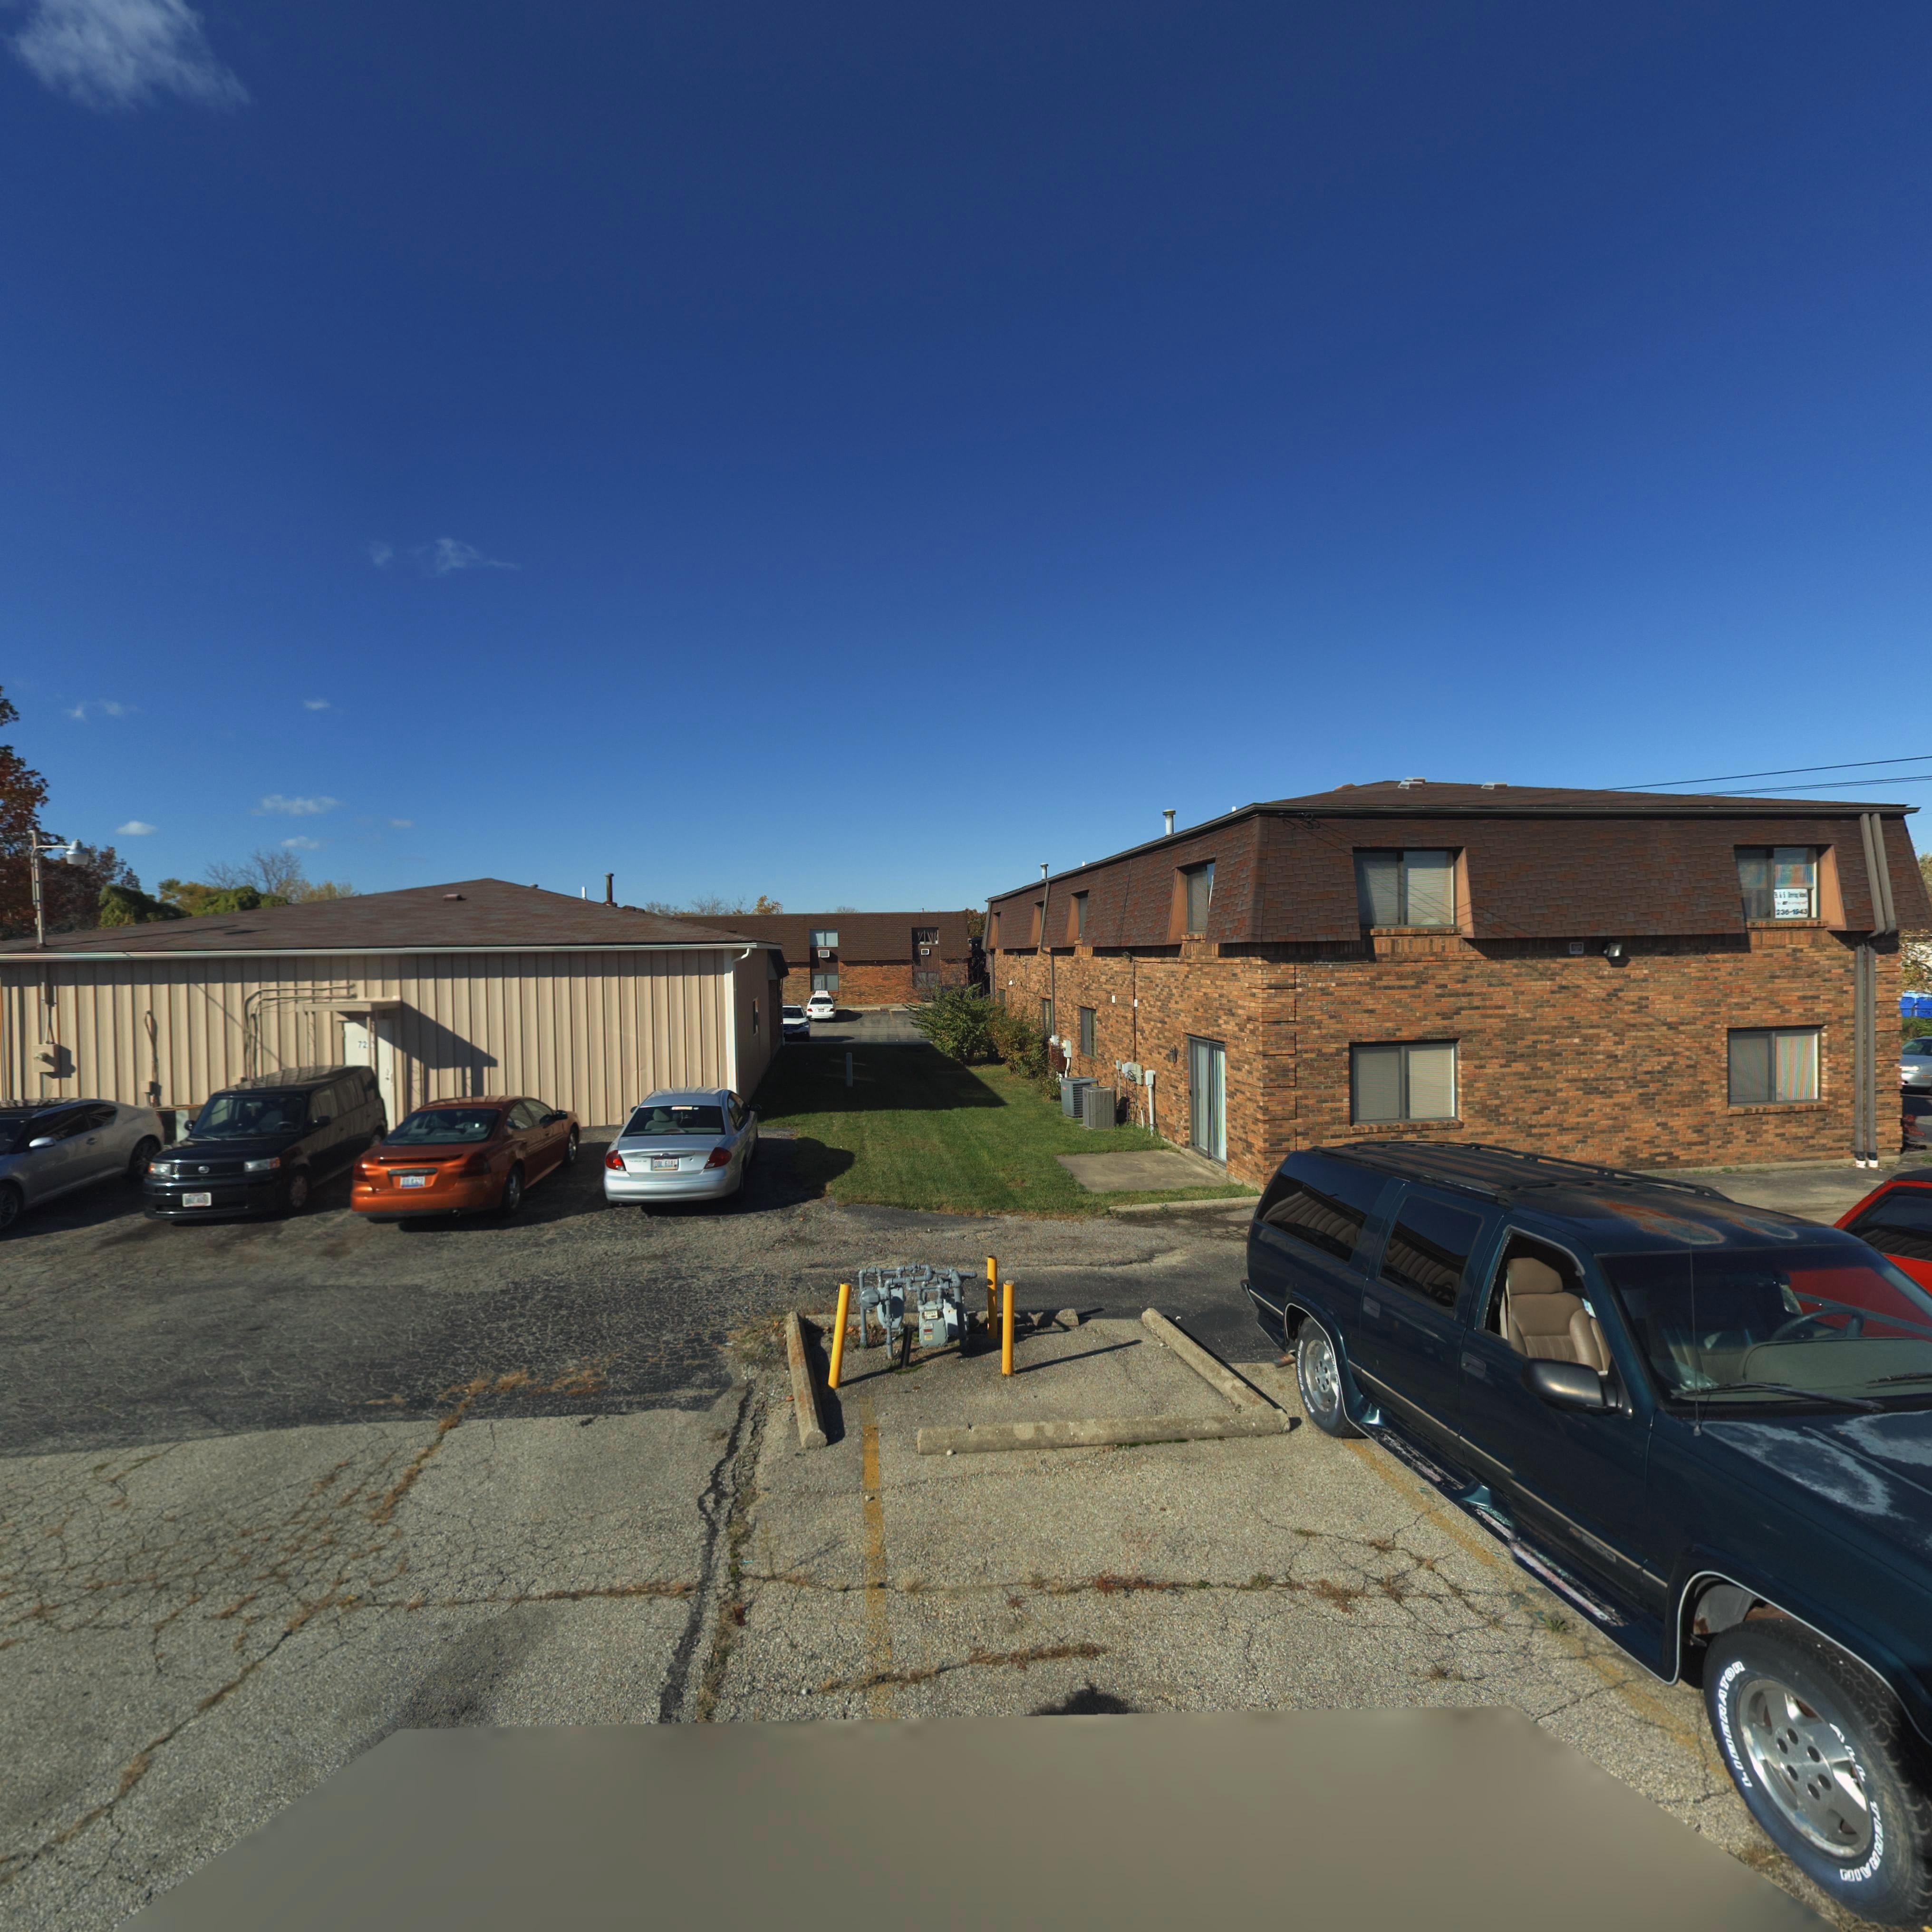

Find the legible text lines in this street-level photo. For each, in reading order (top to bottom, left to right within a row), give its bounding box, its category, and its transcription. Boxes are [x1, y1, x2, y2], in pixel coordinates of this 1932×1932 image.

[357, 1040, 367, 1049] StreetNumber: 72